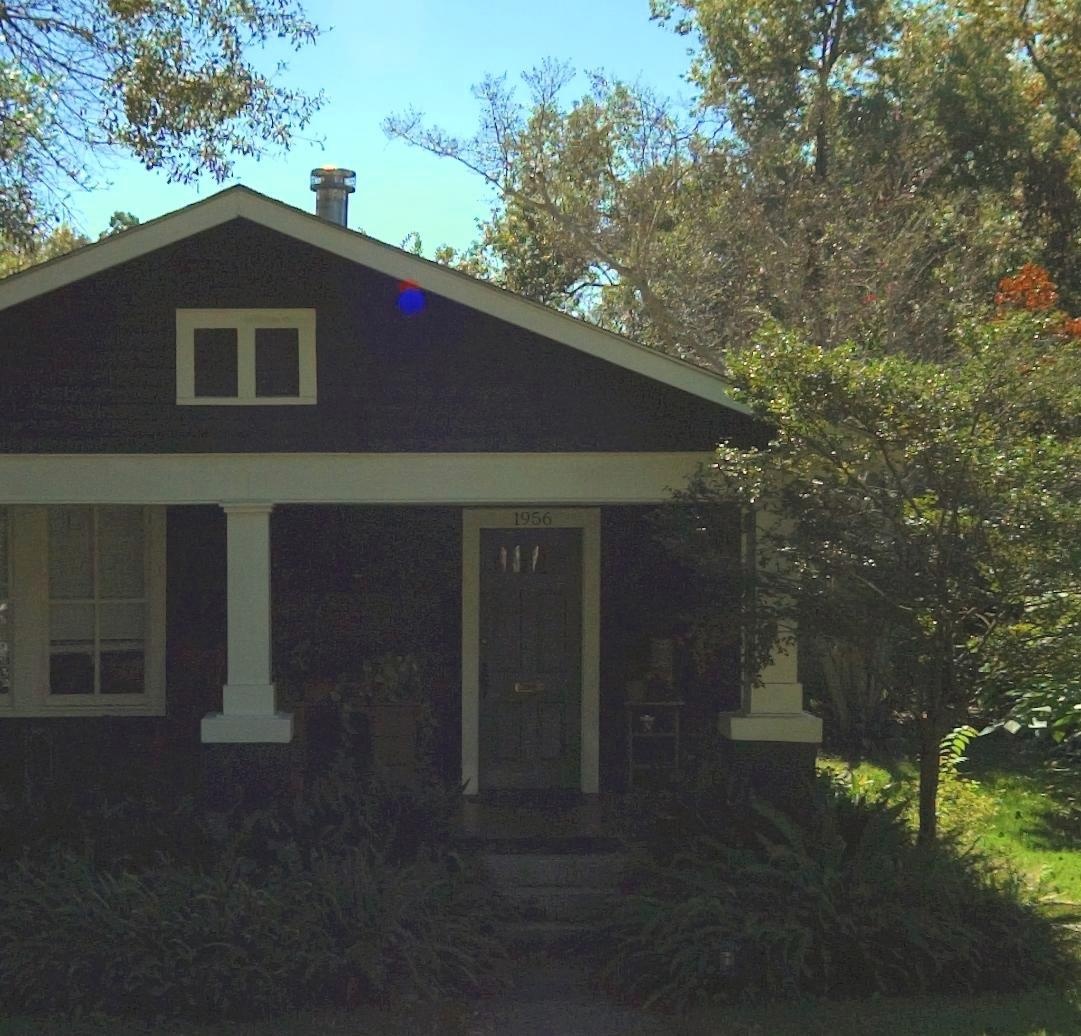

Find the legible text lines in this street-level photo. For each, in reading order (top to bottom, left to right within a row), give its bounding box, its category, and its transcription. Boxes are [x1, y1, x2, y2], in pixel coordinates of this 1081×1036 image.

[512, 510, 554, 528] StreetNumber: 1956